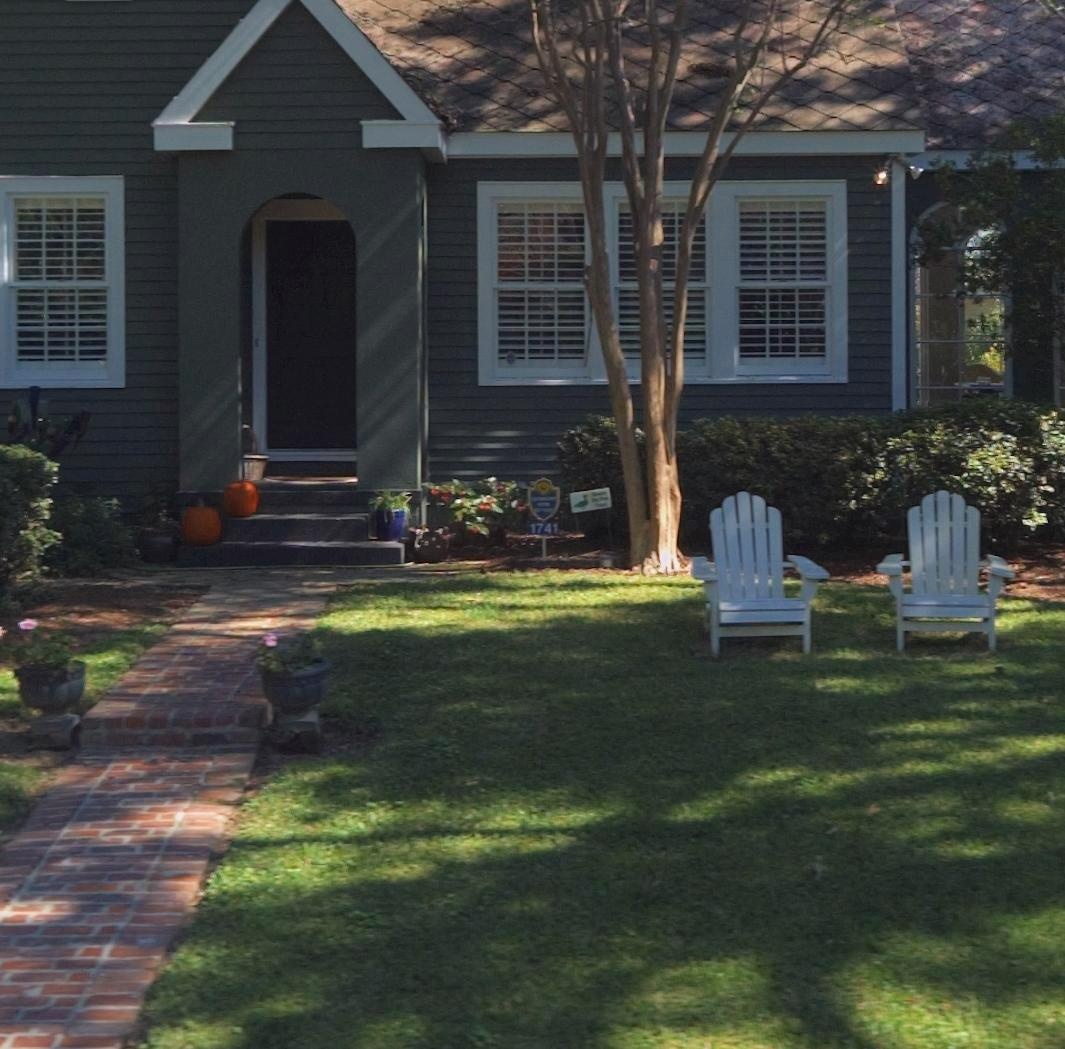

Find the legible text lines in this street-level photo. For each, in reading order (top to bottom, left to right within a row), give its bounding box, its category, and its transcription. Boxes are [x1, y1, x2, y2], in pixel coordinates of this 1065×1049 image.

[529, 521, 560, 536] StreetNumber: 1741